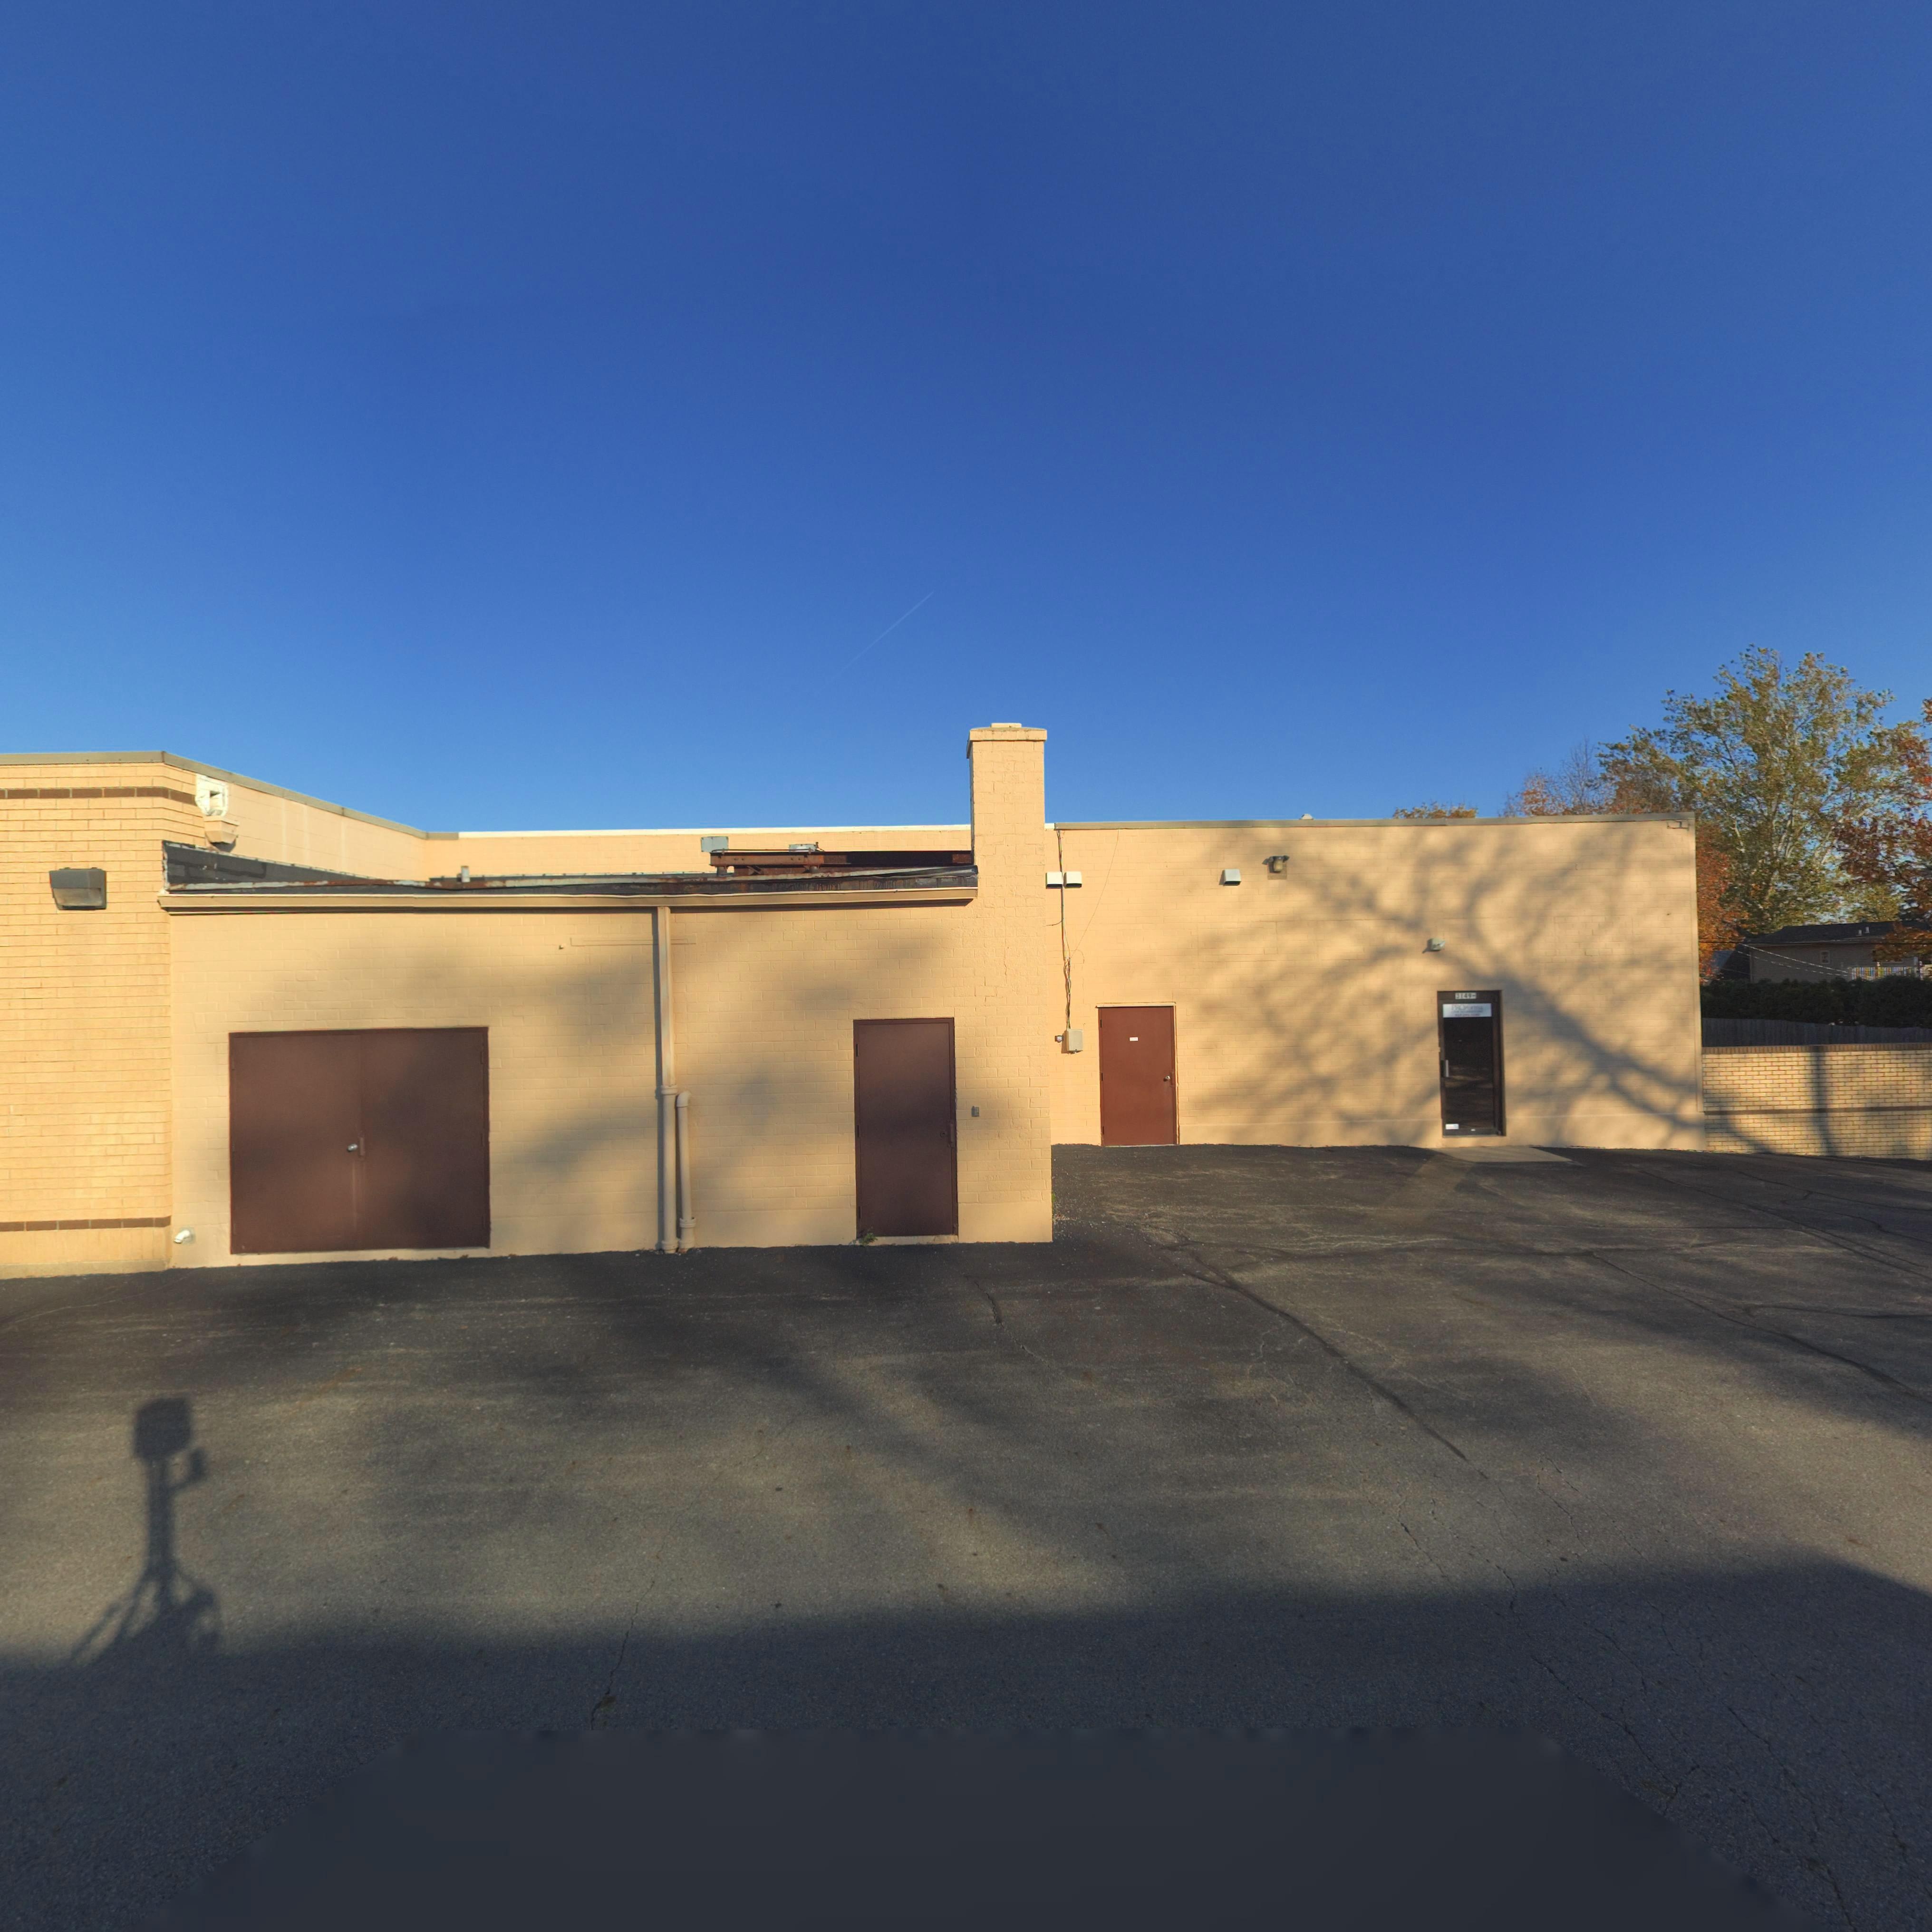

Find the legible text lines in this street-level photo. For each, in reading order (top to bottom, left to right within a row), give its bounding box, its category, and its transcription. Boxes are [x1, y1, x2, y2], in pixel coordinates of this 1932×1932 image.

[1455, 993, 1472, 999] StreetNumber: 3149